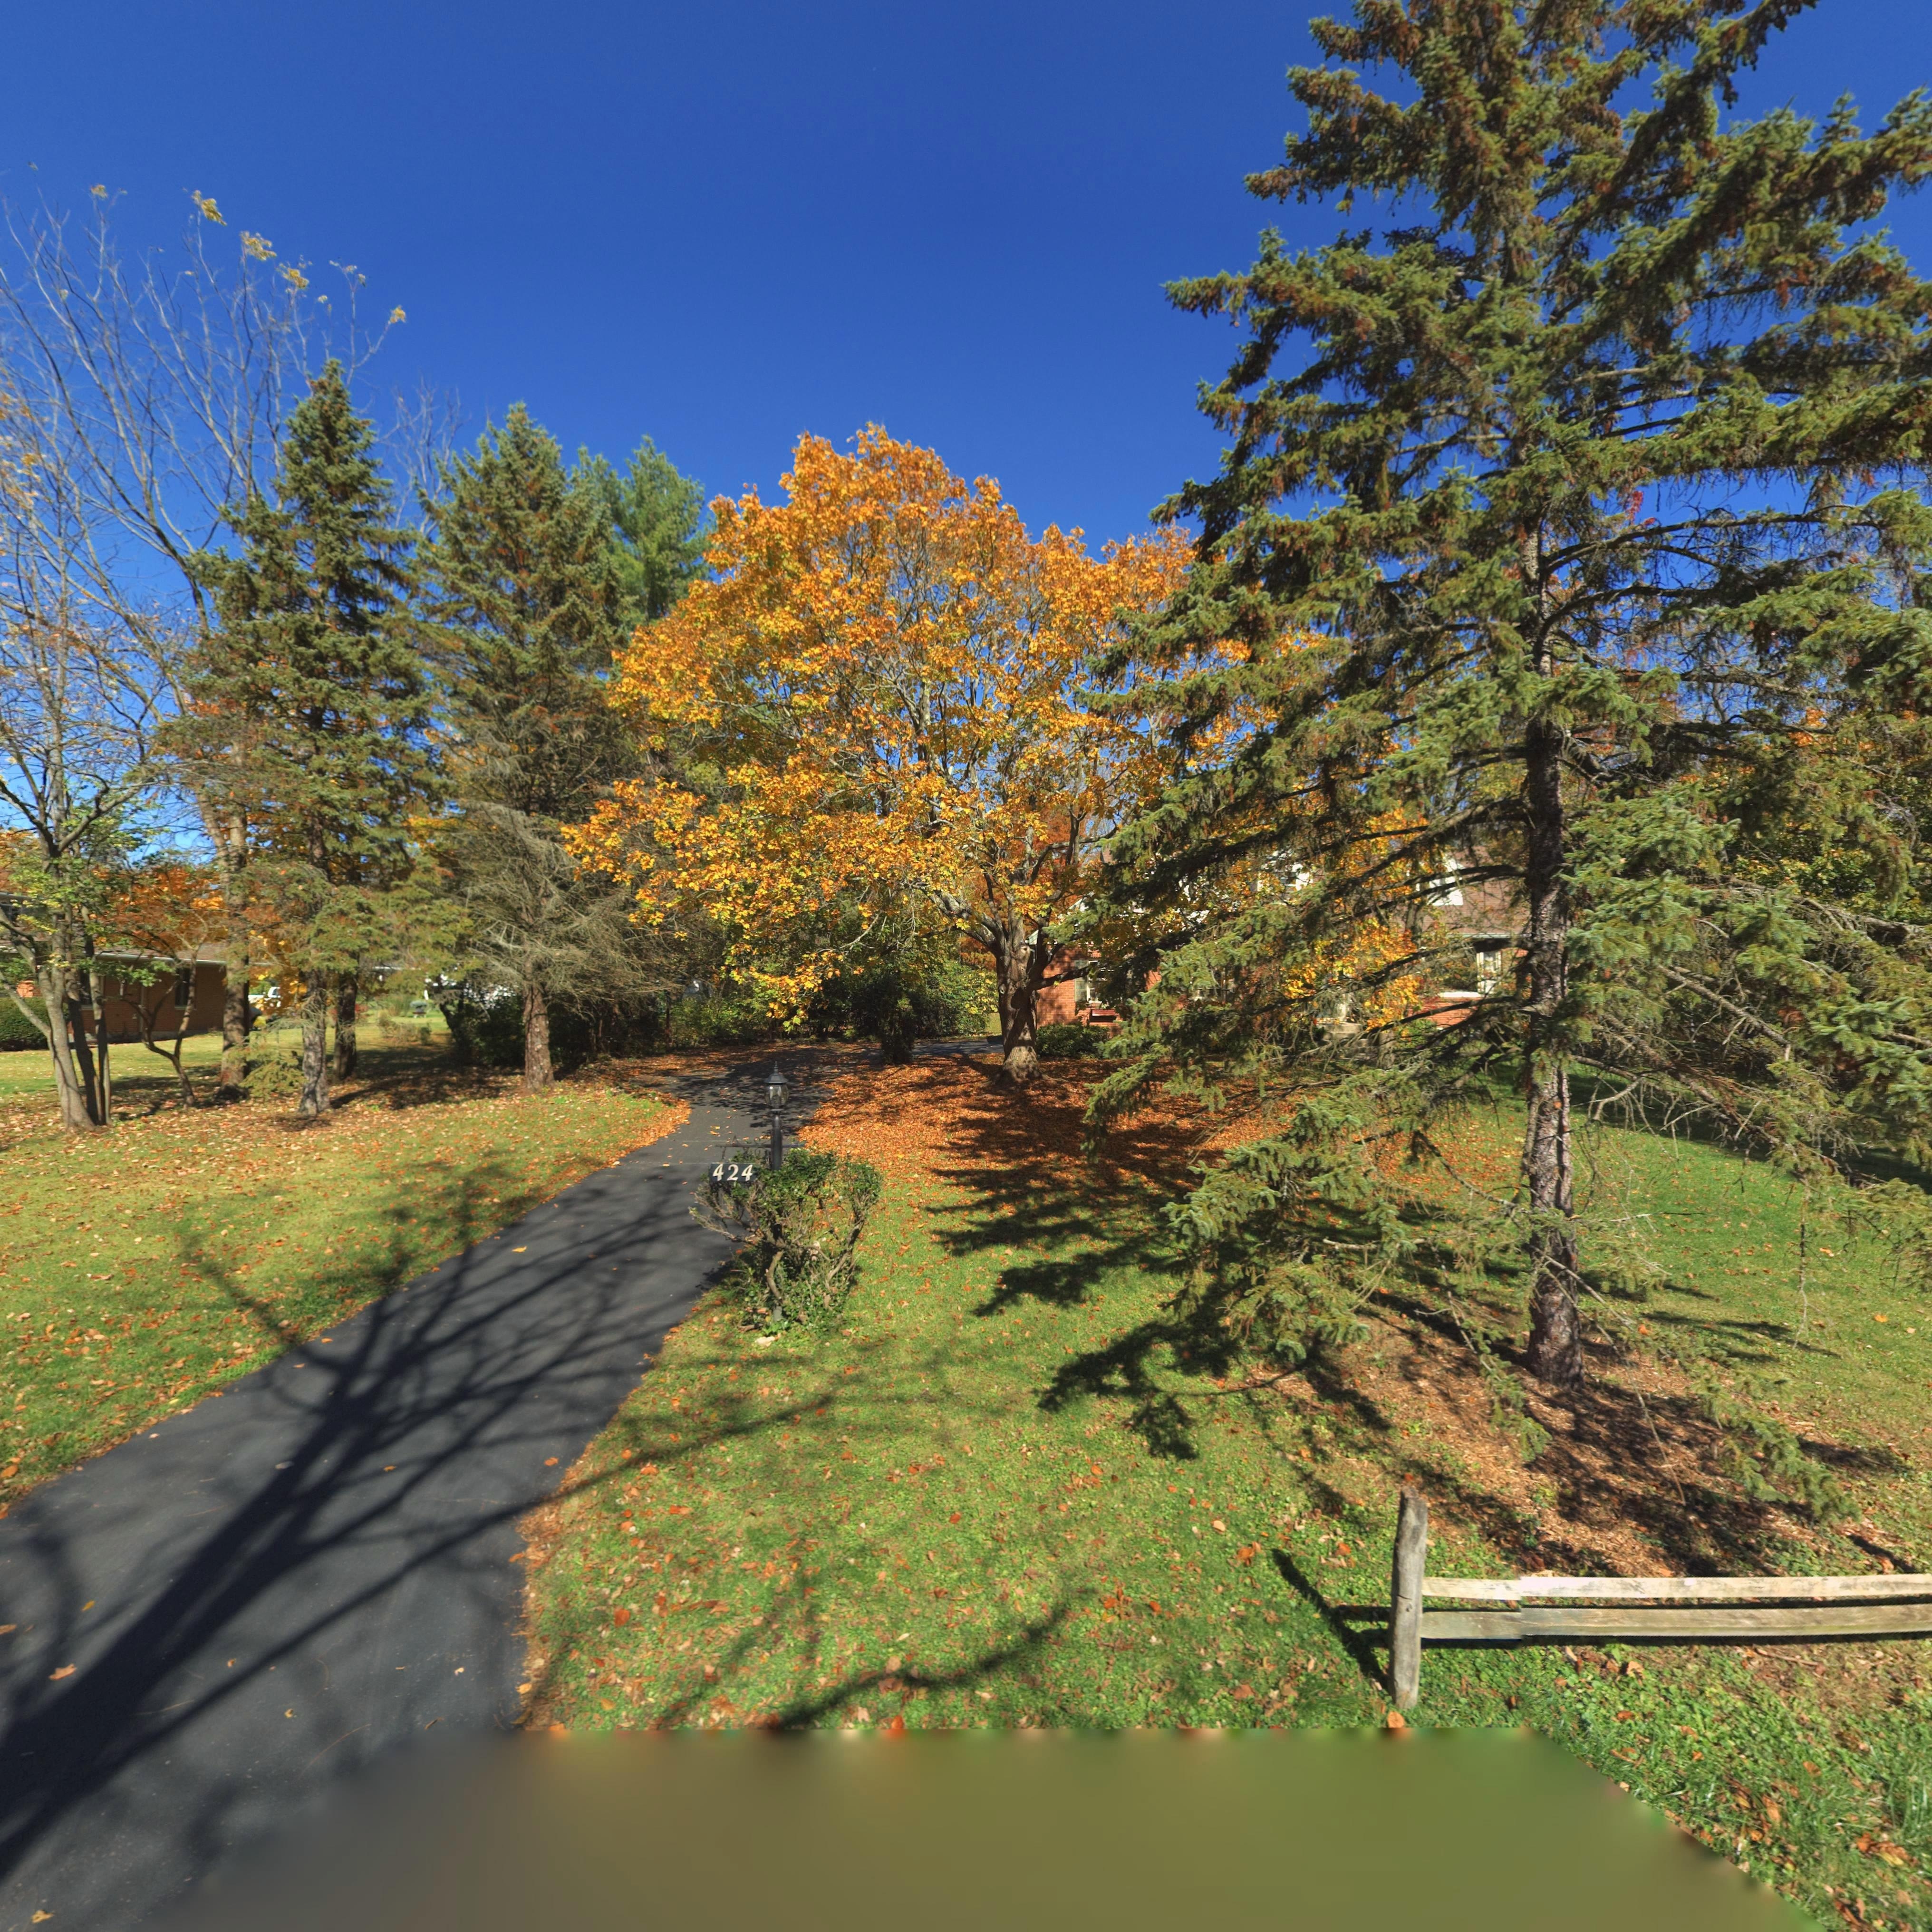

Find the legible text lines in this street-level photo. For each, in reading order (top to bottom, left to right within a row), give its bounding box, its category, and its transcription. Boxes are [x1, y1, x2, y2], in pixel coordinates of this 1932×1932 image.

[712, 1163, 753, 1181] StreetNumber: 424